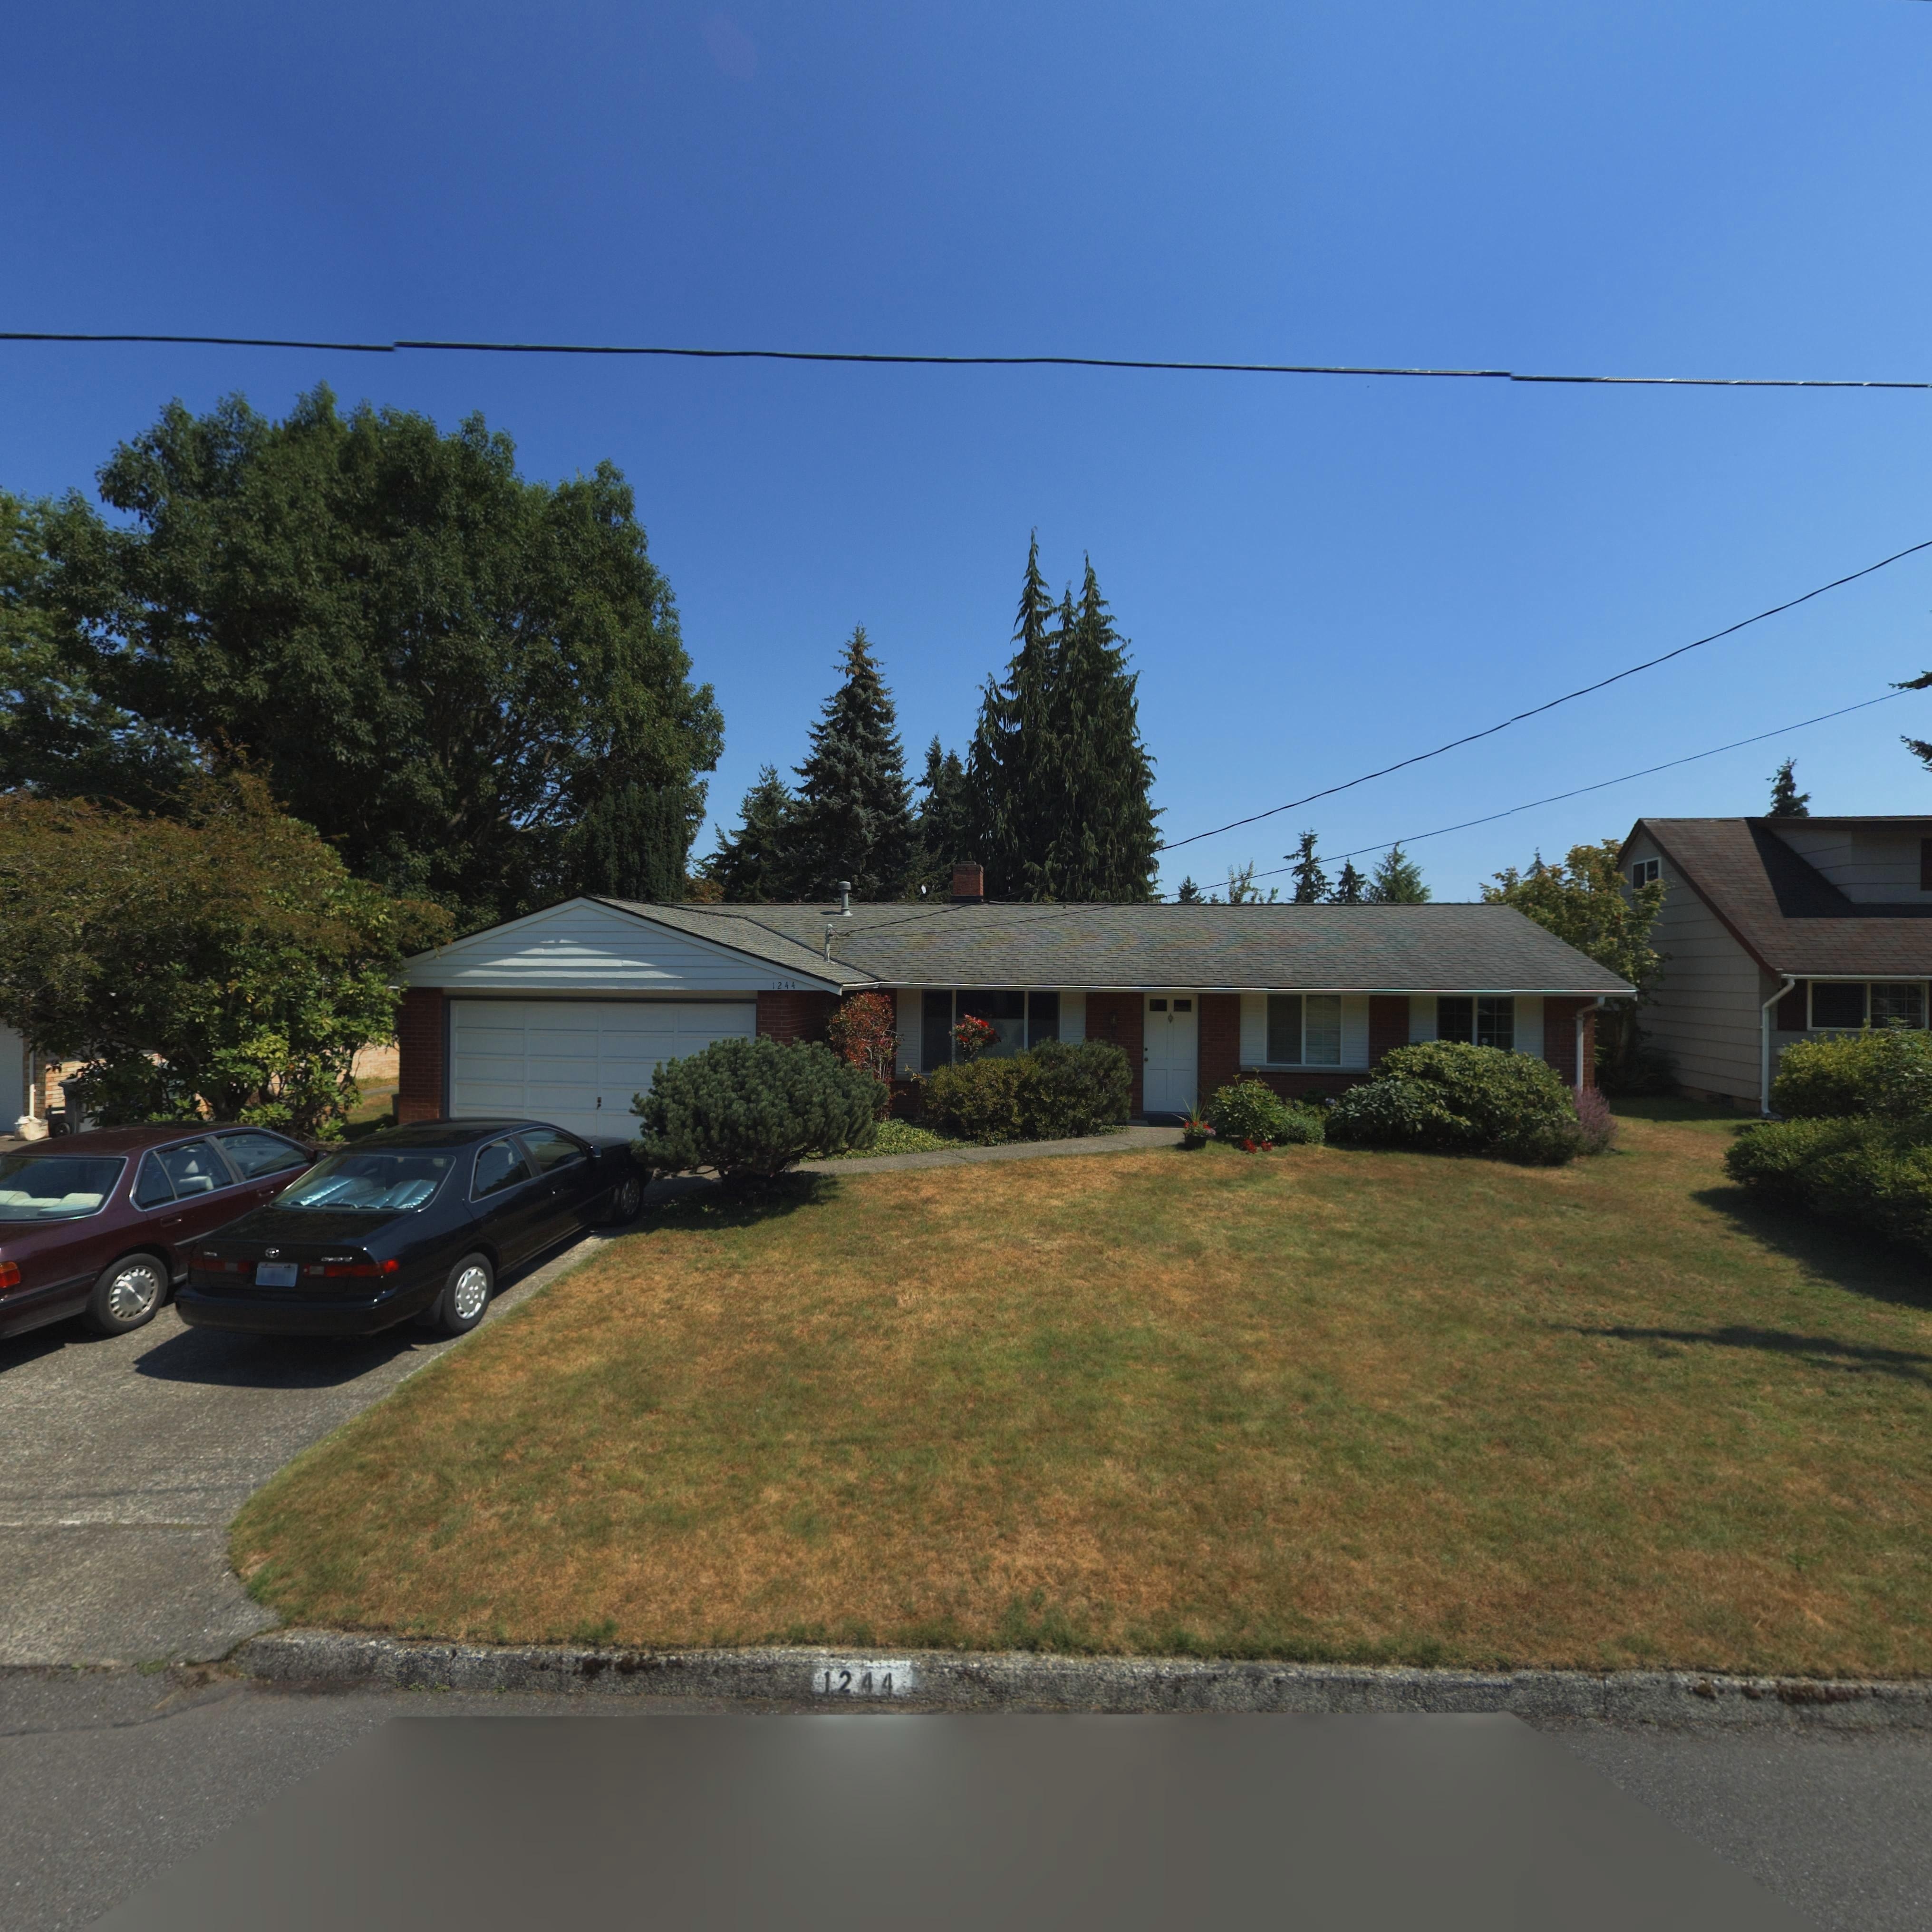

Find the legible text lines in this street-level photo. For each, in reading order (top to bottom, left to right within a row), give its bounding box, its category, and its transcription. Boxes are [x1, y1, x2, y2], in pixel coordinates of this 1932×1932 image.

[770, 981, 796, 989] StreetNumber: 1244
[818, 1666, 898, 1699] StreetNumber: 1244